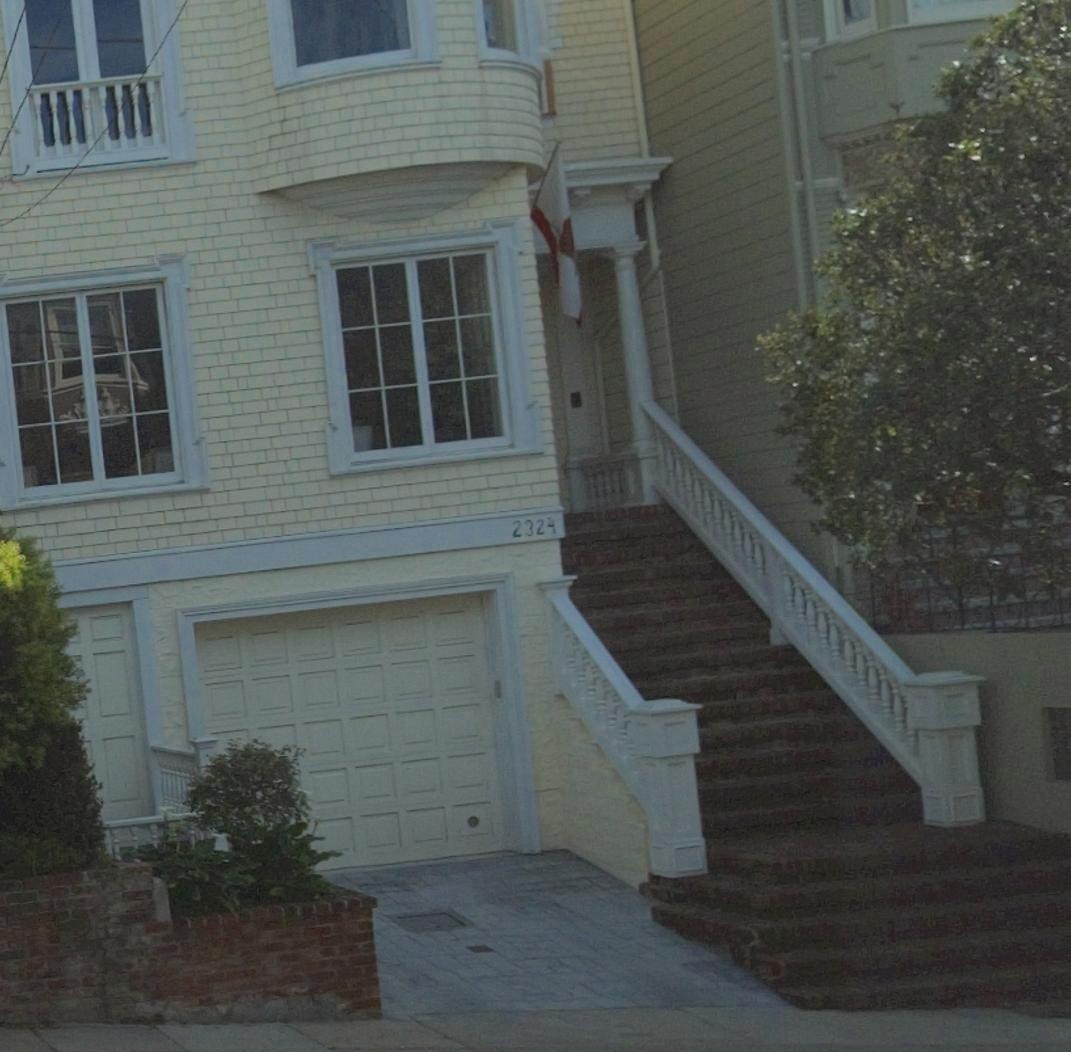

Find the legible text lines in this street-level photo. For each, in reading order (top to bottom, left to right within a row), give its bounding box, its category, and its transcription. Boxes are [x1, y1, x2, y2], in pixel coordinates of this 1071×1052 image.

[510, 514, 558, 541] StreetNumber: 2324